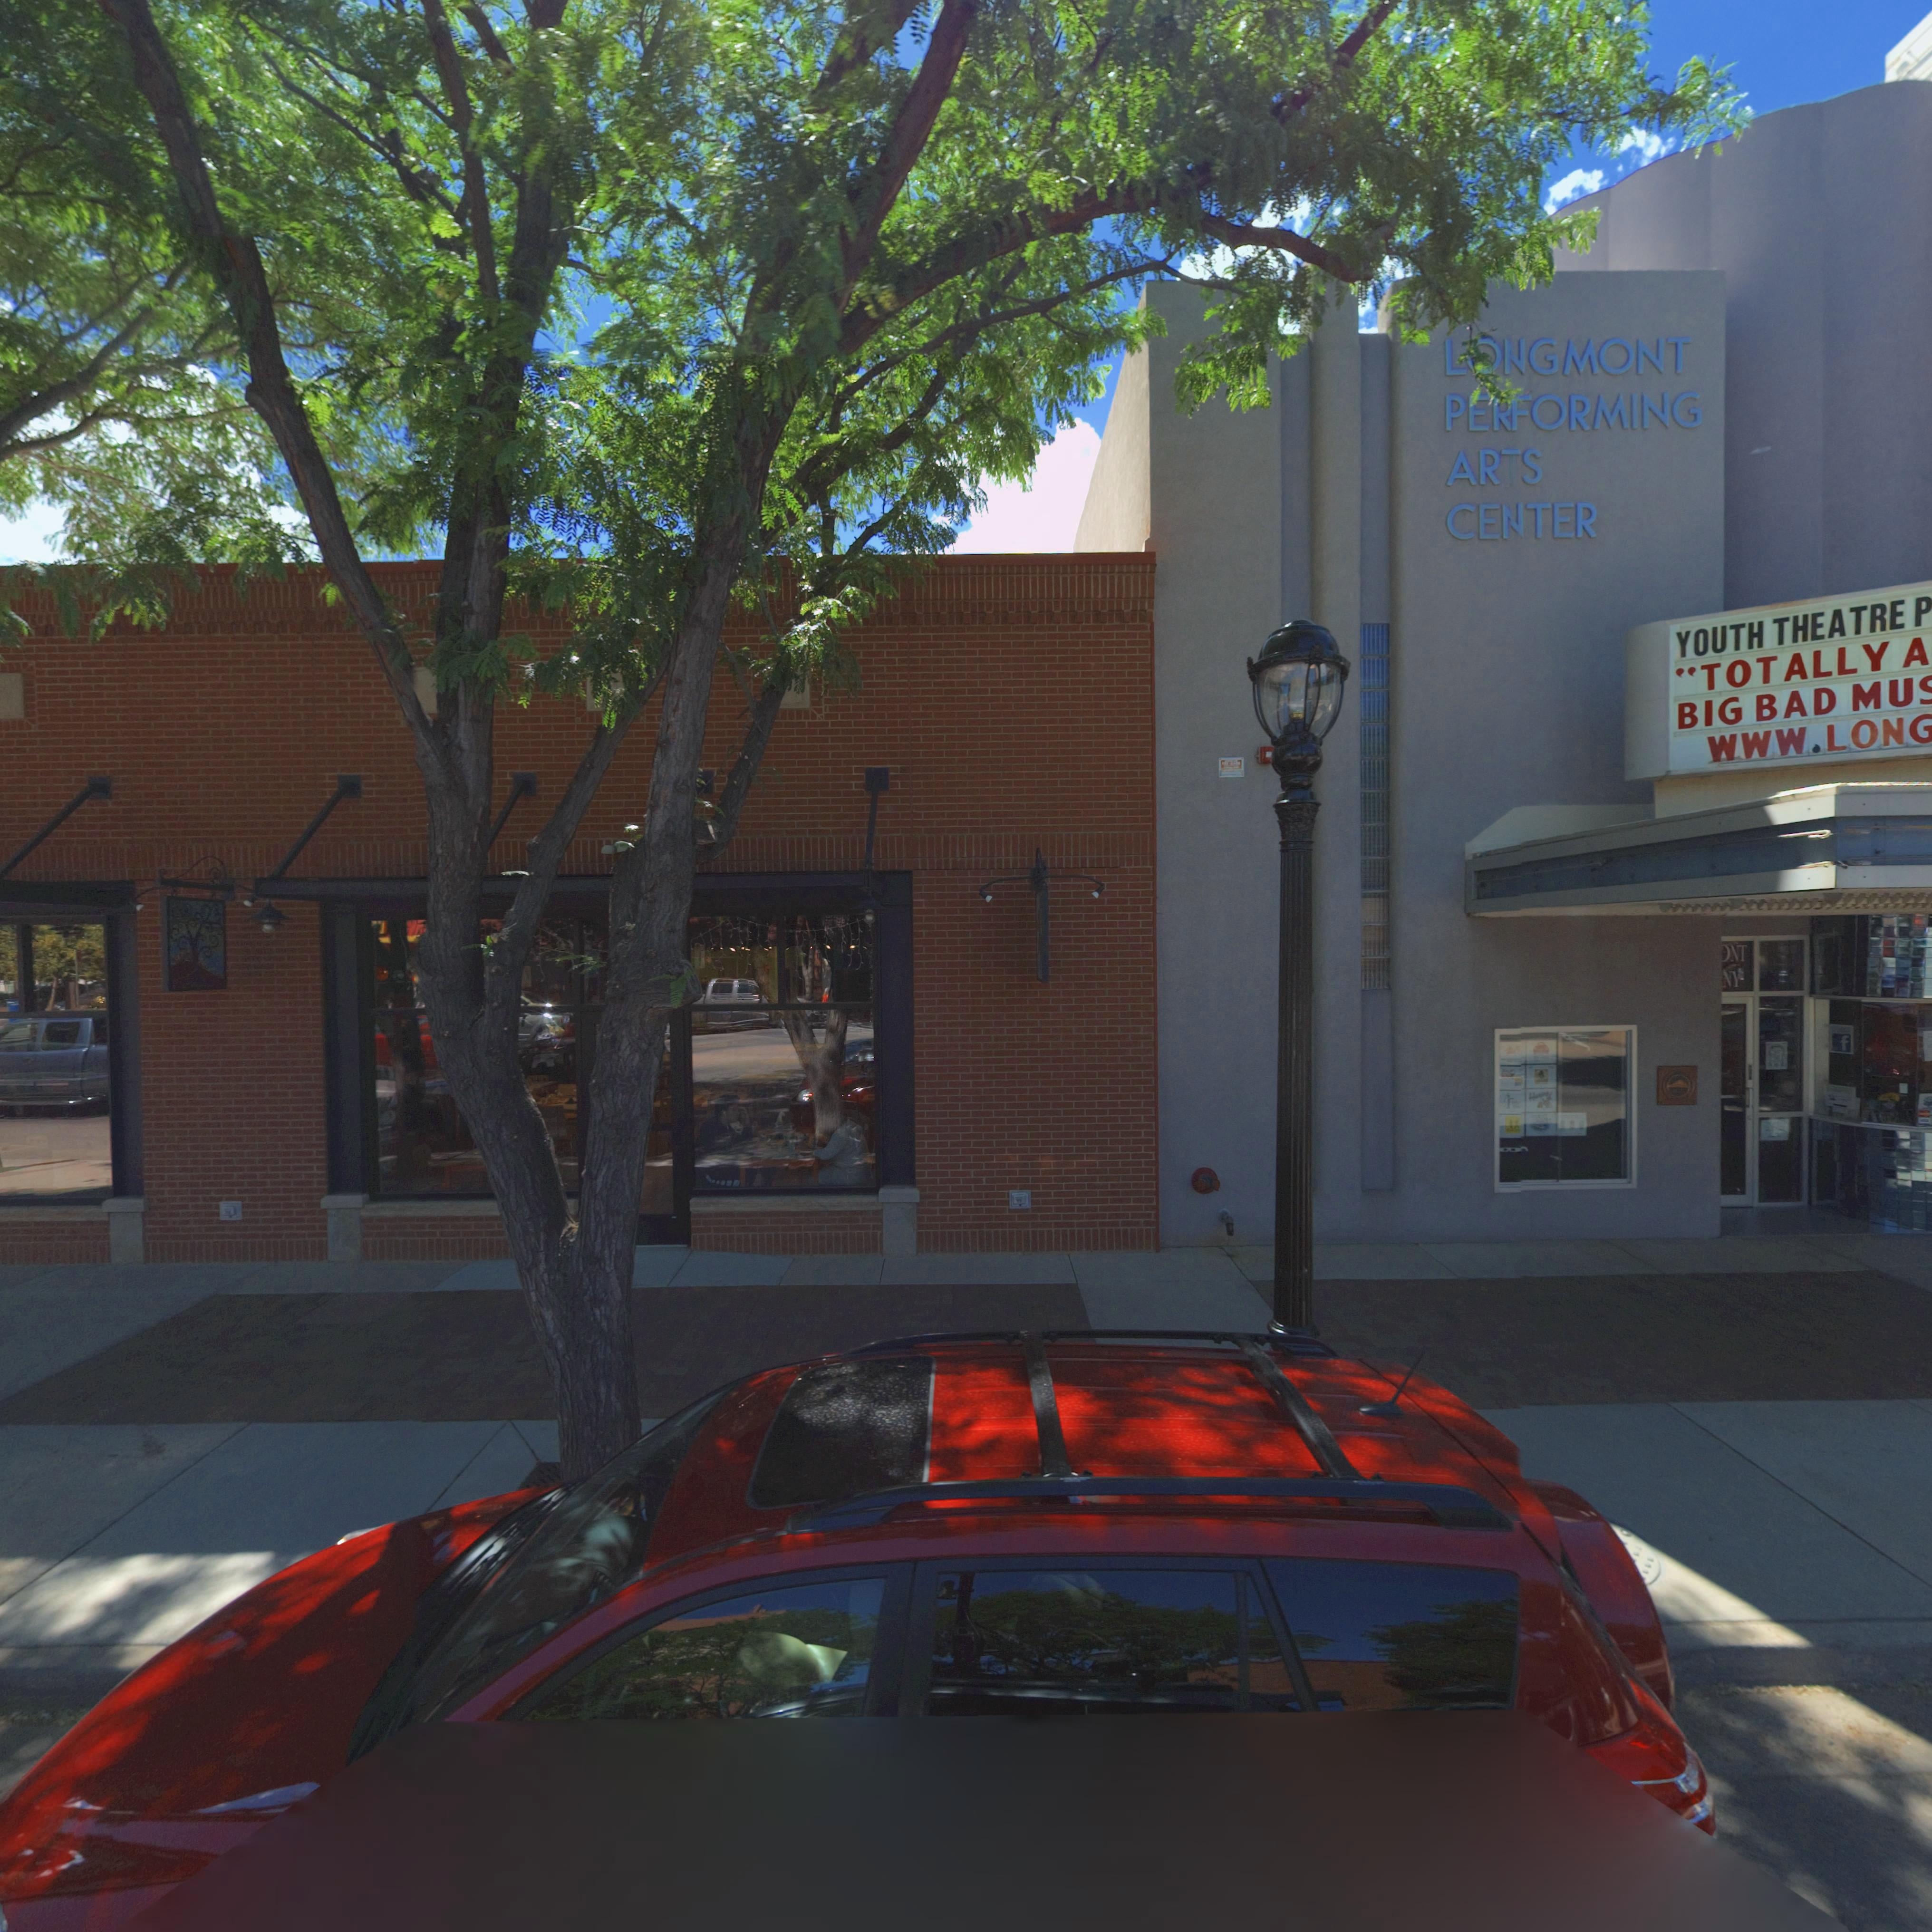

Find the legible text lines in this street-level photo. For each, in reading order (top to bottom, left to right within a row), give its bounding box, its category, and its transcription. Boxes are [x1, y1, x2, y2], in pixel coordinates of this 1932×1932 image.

[1443, 336, 1693, 376] BusinessName: L*NGMONT
[1444, 391, 1703, 432] BusinessName: P***ORMING
[1446, 447, 1543, 486] BusinessName: AR*S
[1445, 501, 1598, 541] BusinessName: CENTER
[1721, 944, 1748, 962] BusinessName: *NT
[1723, 970, 1743, 987] BusinessName: N*